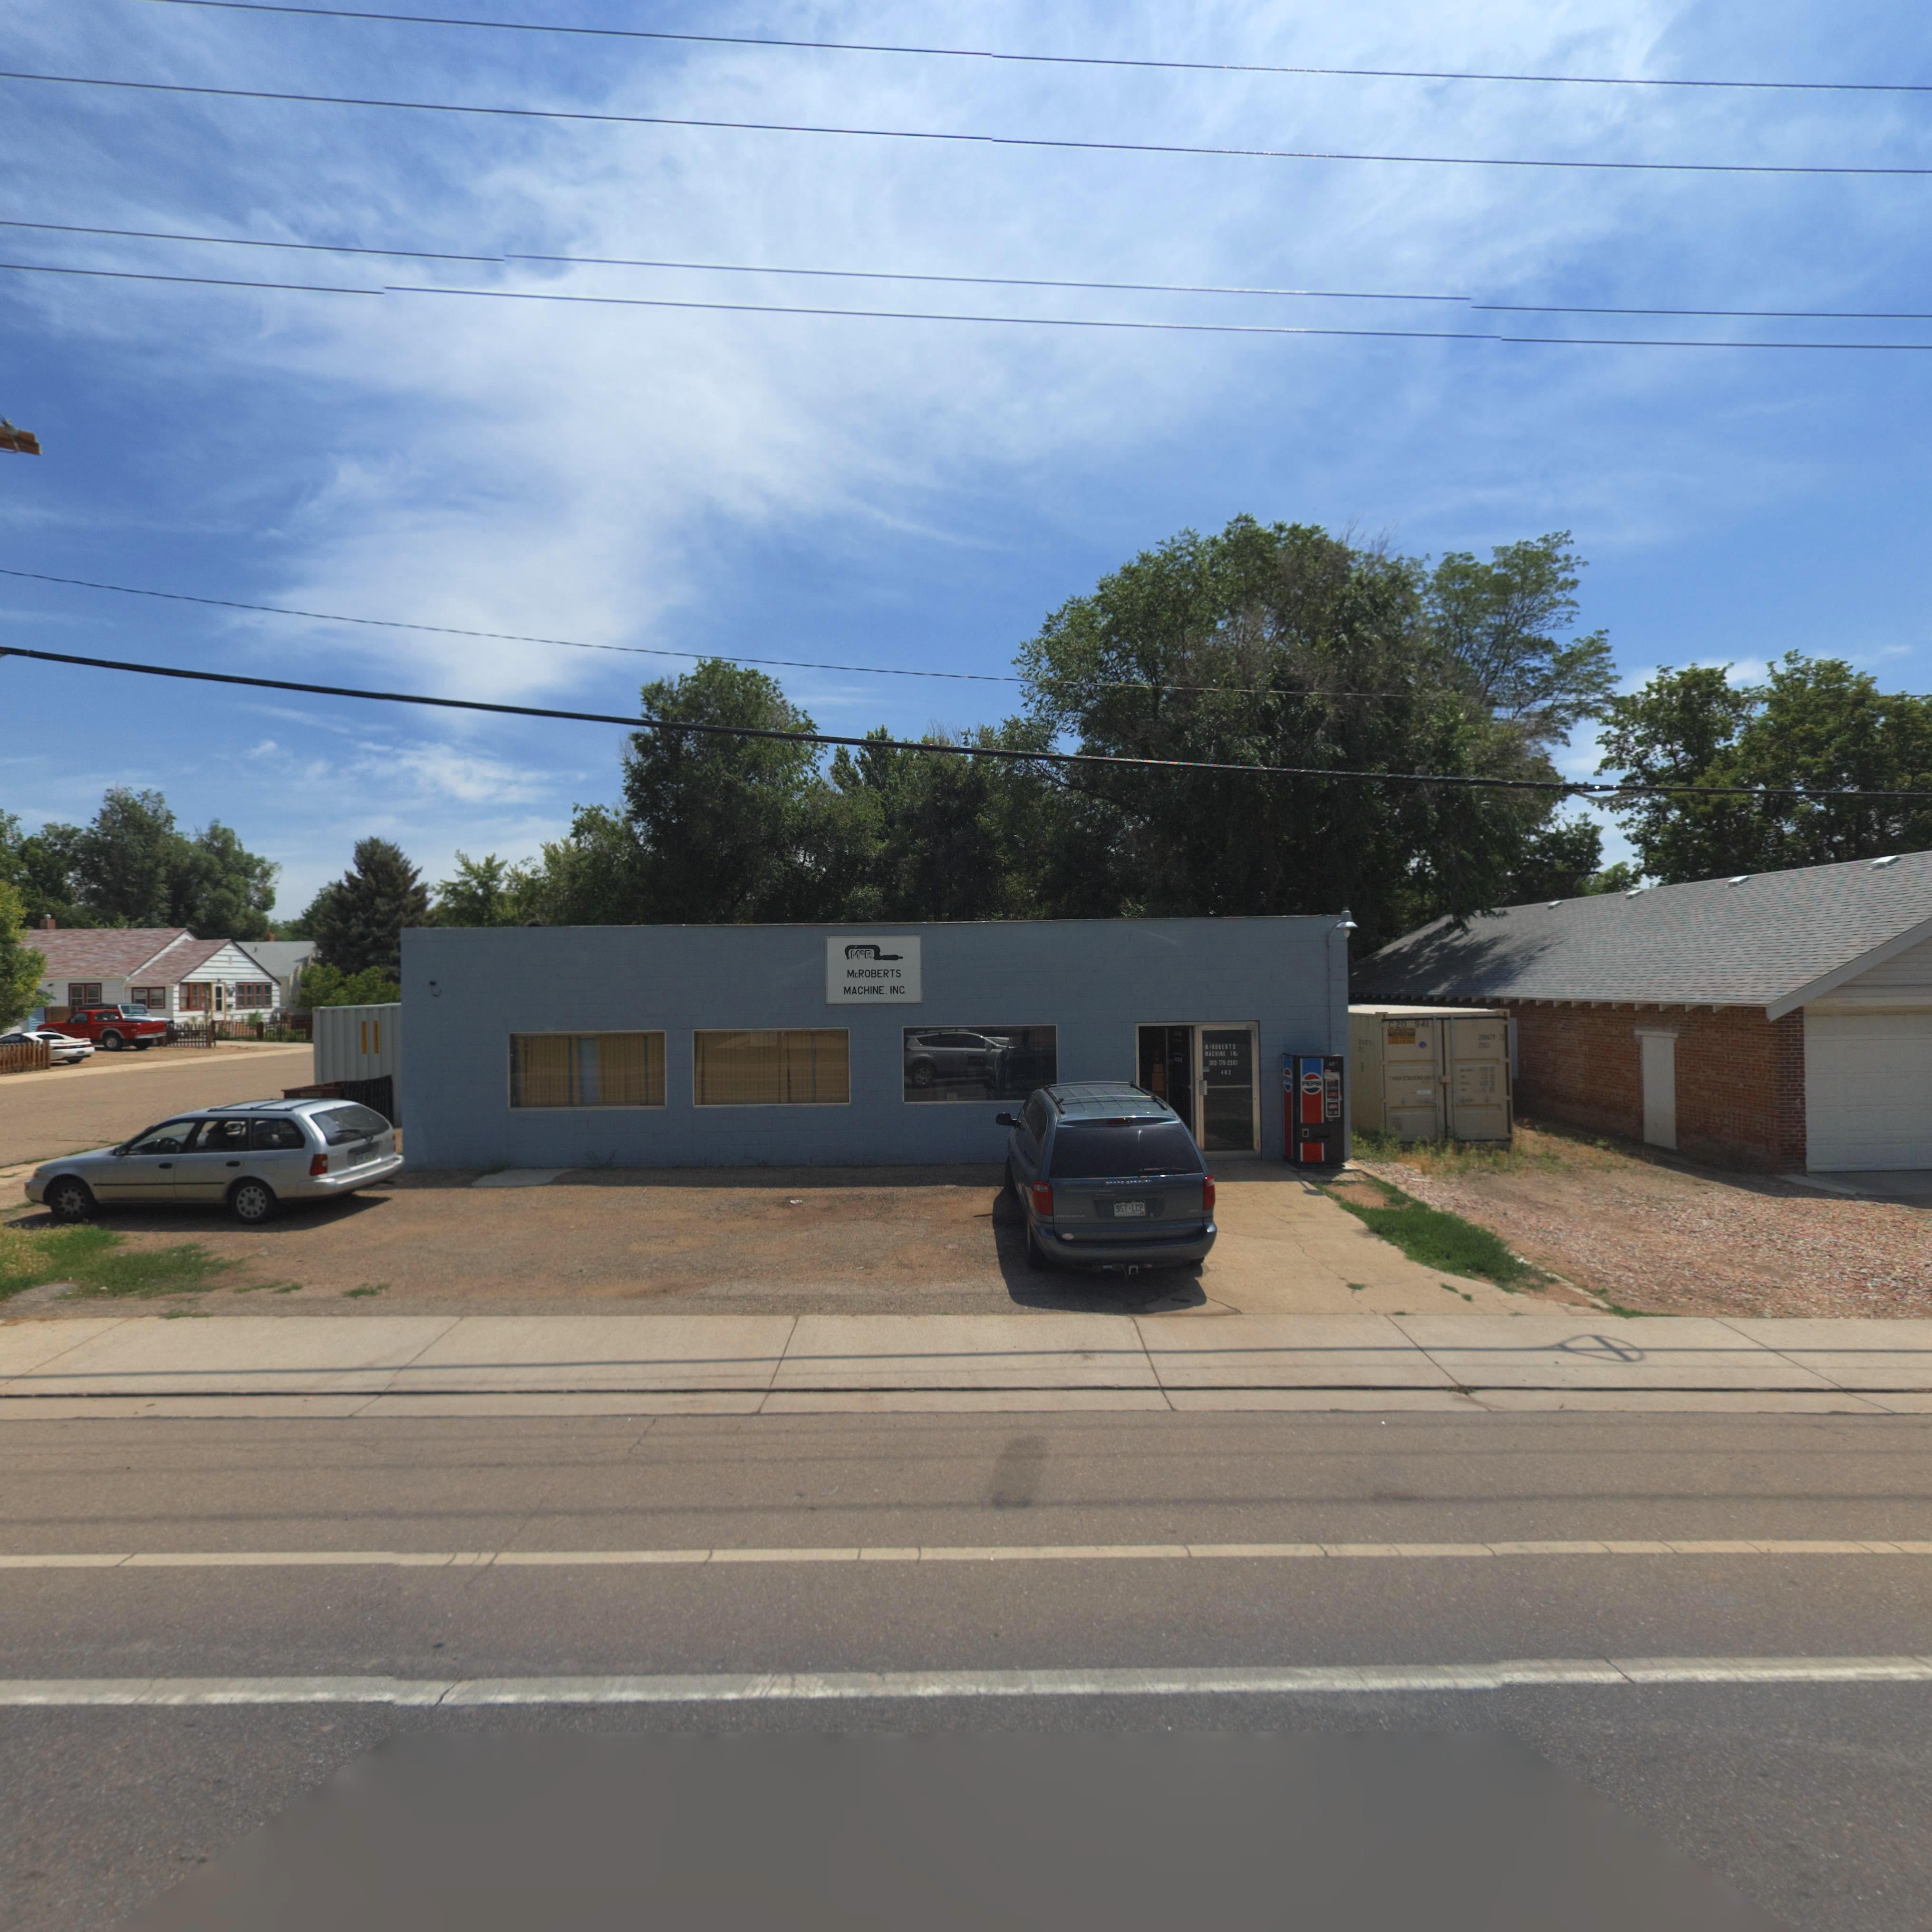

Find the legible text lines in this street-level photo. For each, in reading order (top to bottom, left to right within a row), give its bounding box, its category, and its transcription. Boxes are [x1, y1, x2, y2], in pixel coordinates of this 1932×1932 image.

[847, 969, 901, 978] BusinessName: McROBERTS
[843, 985, 906, 995] BusinessName: MACHINE, INC.
[1205, 1043, 1236, 1050] BusinessName: M*ROBERTS
[1205, 1051, 1236, 1056] BusinessName: MACHINE IN
[1173, 1056, 1182, 1063] StreetNumber: 404
[1220, 1069, 1231, 1075] StreetNumber: 402